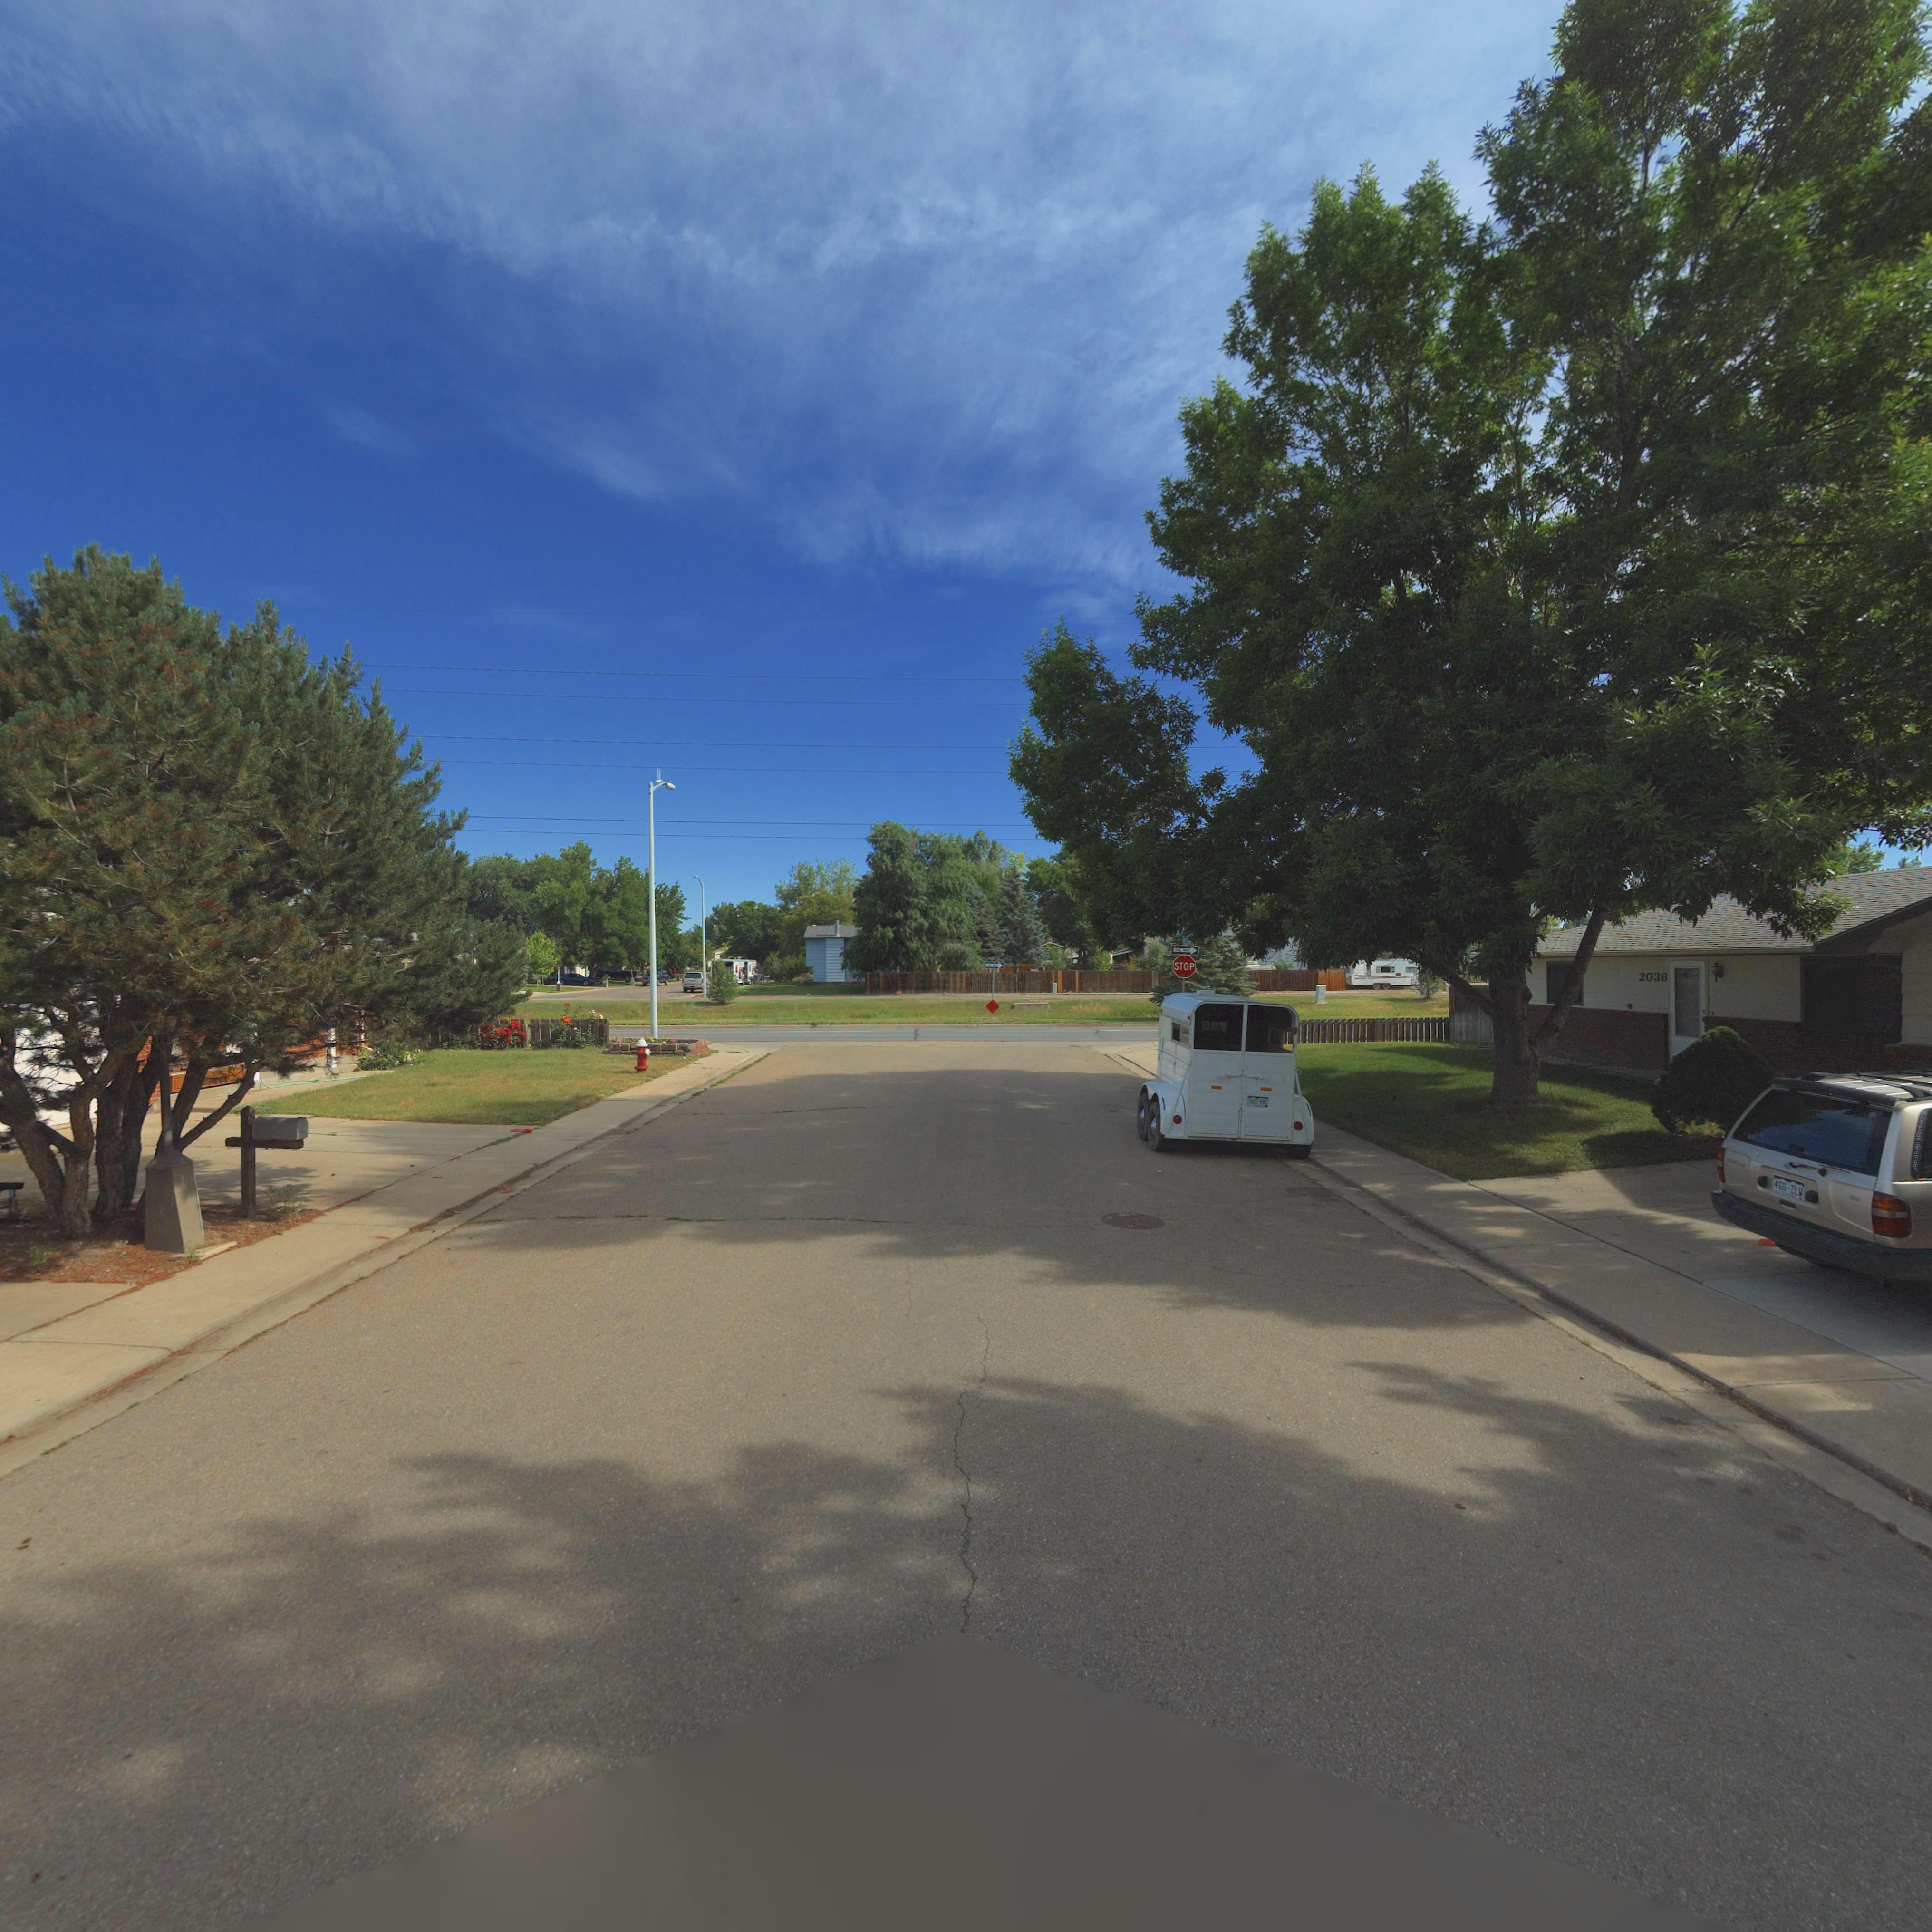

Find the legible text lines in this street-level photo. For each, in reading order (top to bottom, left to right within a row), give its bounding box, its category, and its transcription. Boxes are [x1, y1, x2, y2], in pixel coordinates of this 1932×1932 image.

[1638, 972, 1668, 981] StreetNumber: 2036